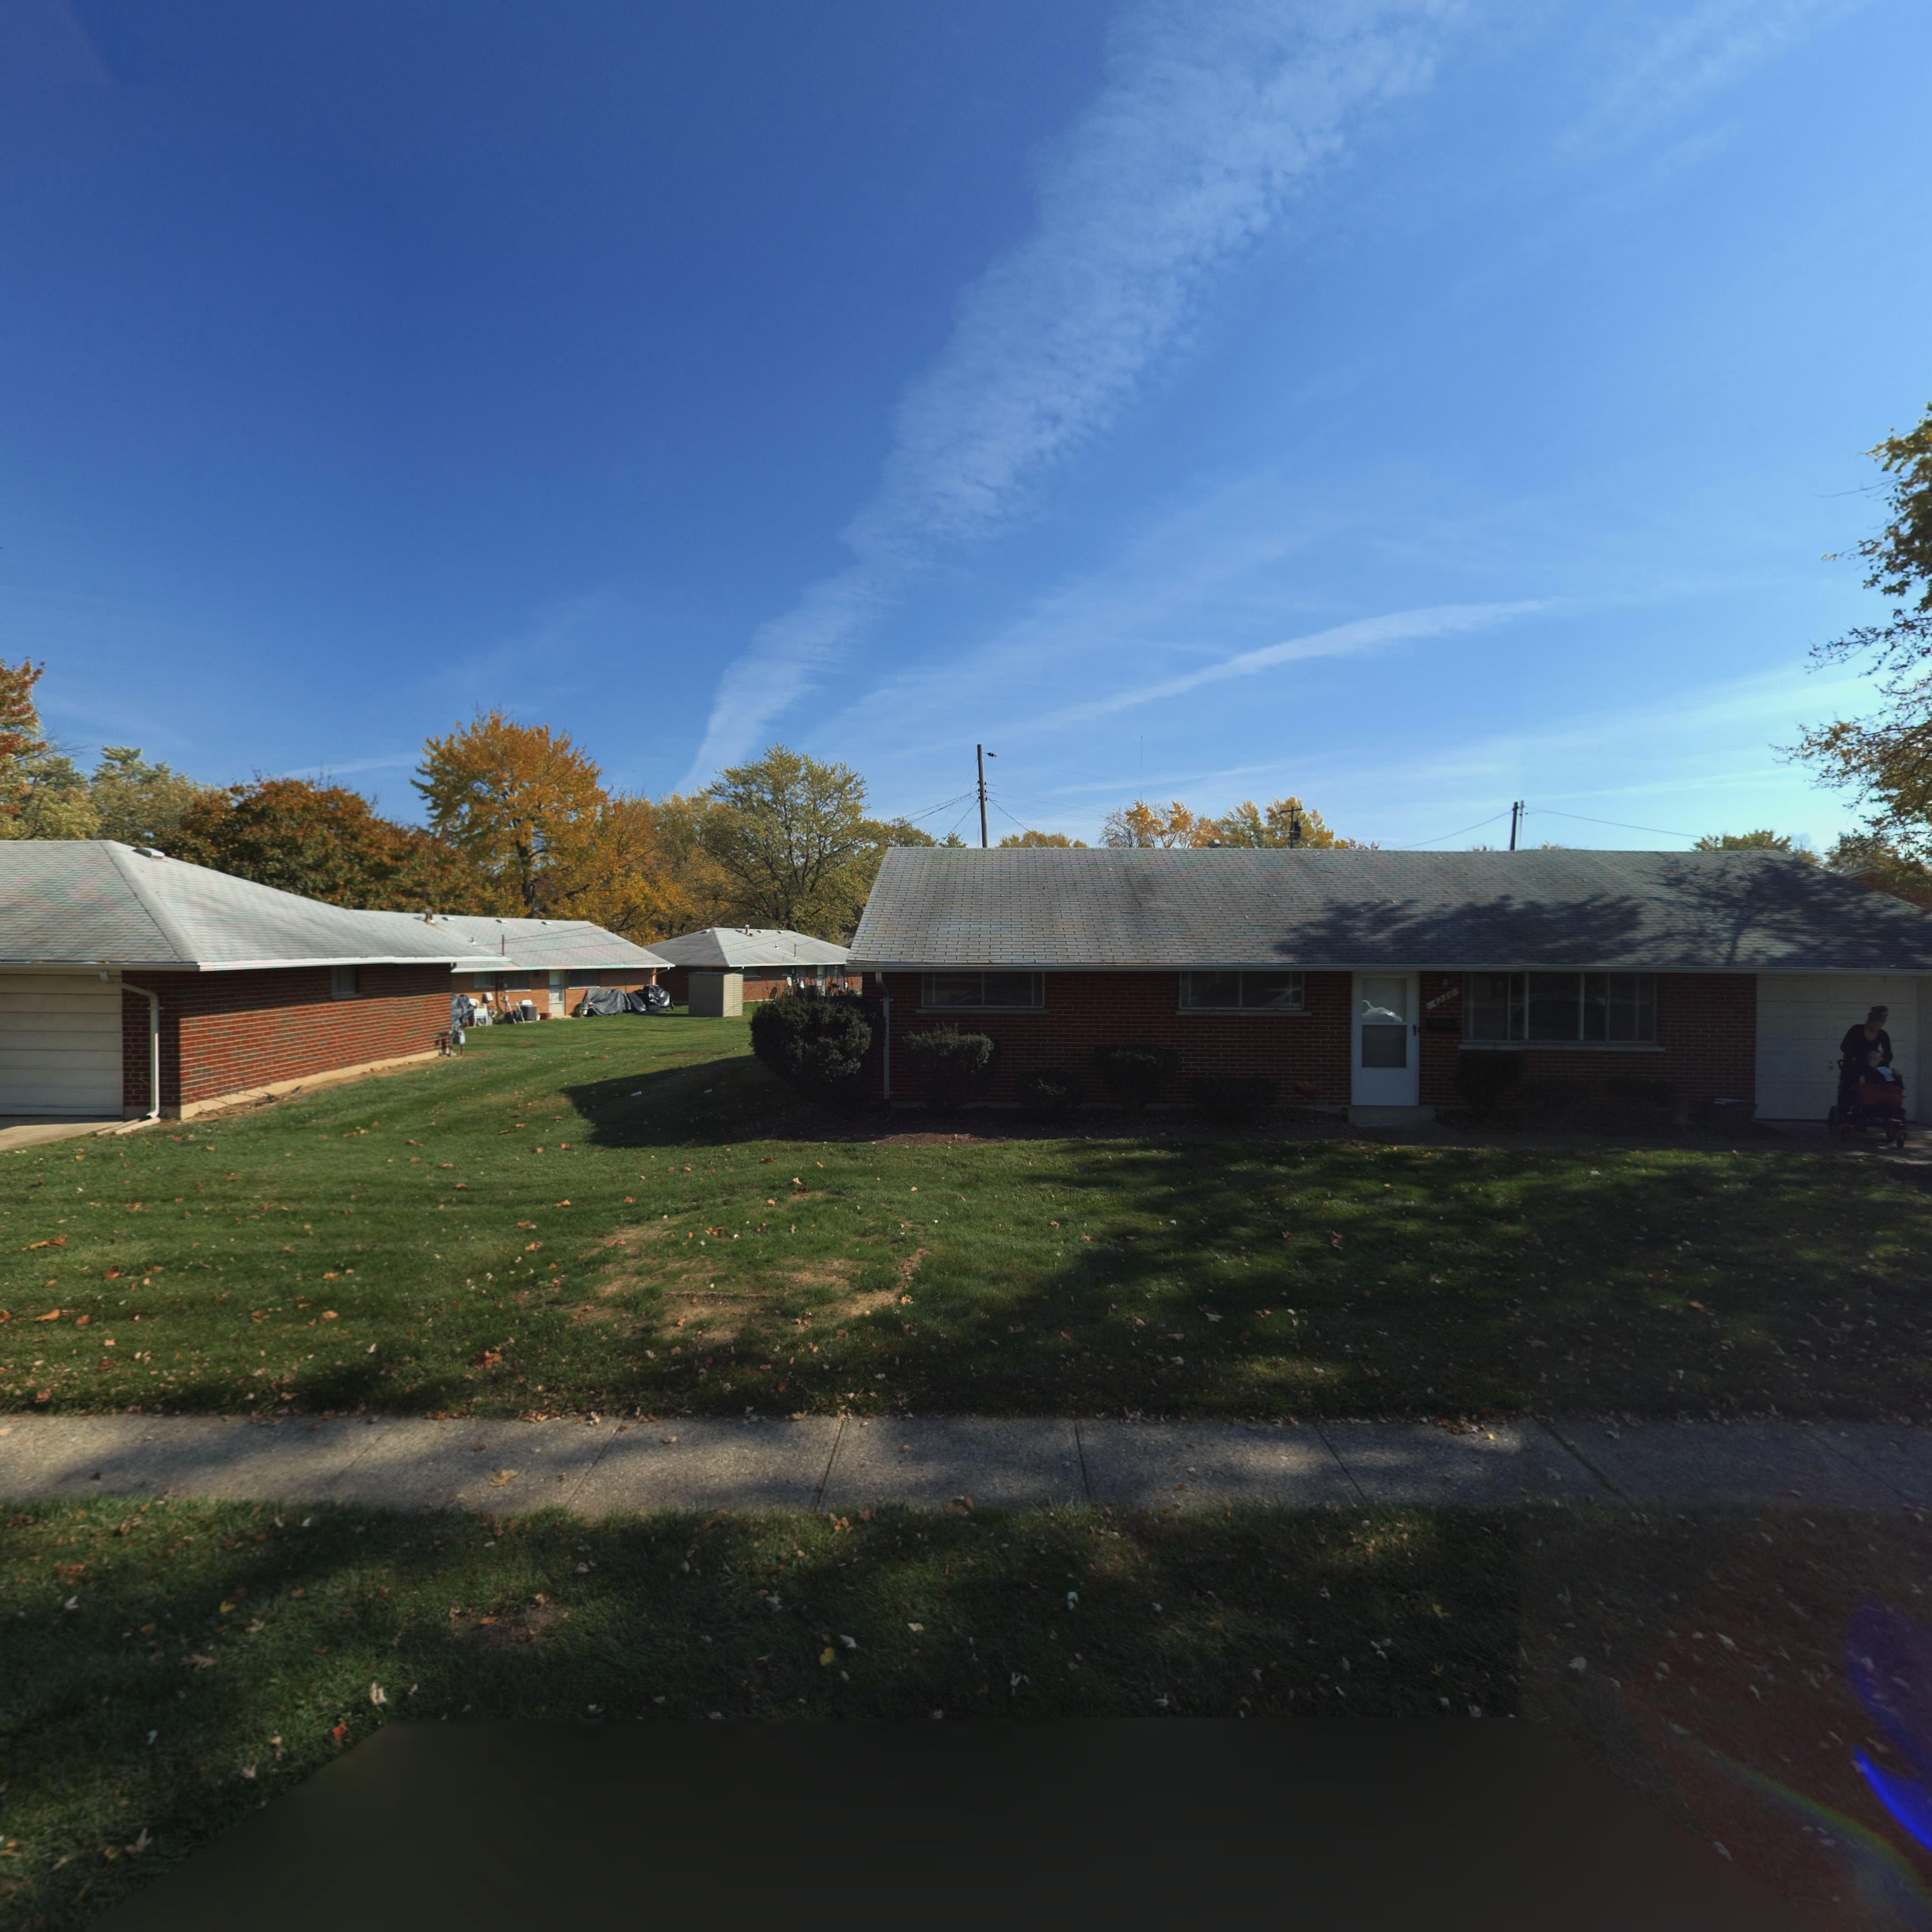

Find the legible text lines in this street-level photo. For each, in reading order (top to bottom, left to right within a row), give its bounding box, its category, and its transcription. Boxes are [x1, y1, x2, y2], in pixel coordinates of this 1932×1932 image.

[1433, 989, 1454, 1007] StreetNumber: 4236